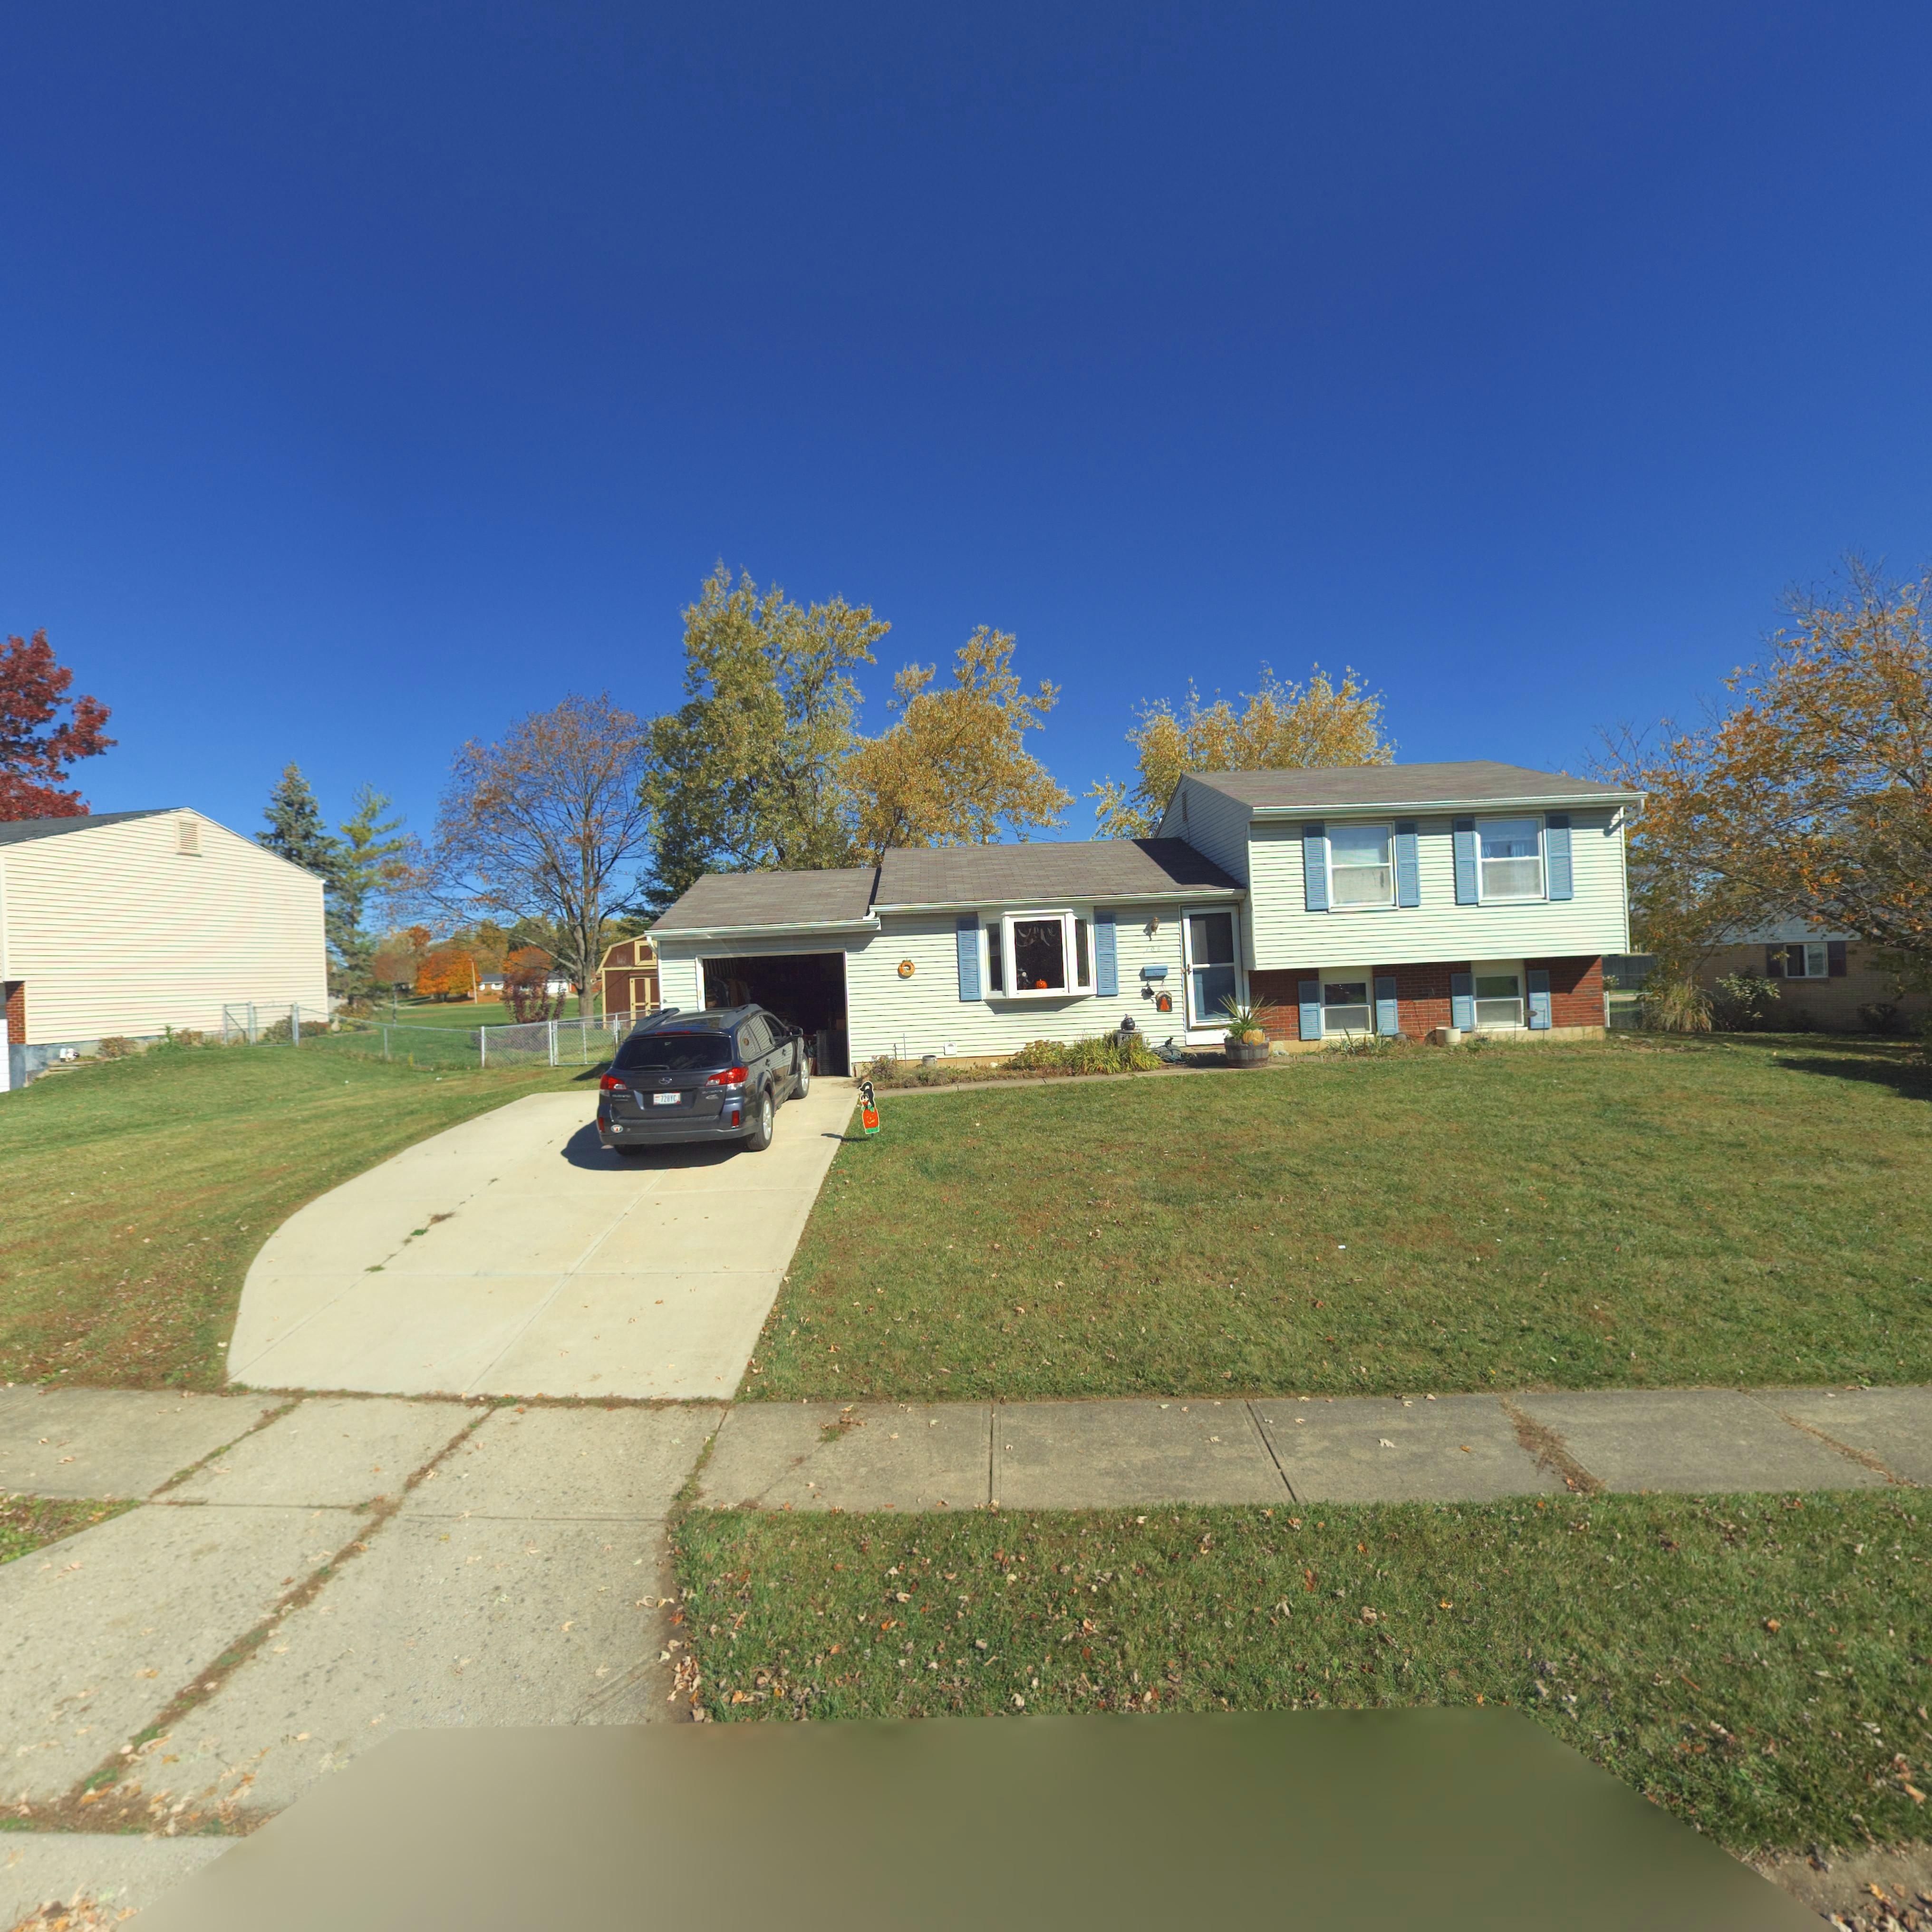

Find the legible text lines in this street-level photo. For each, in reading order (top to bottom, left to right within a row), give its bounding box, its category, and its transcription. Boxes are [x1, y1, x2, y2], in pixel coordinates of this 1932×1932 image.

[1145, 946, 1161, 953] StreetNumber: 106